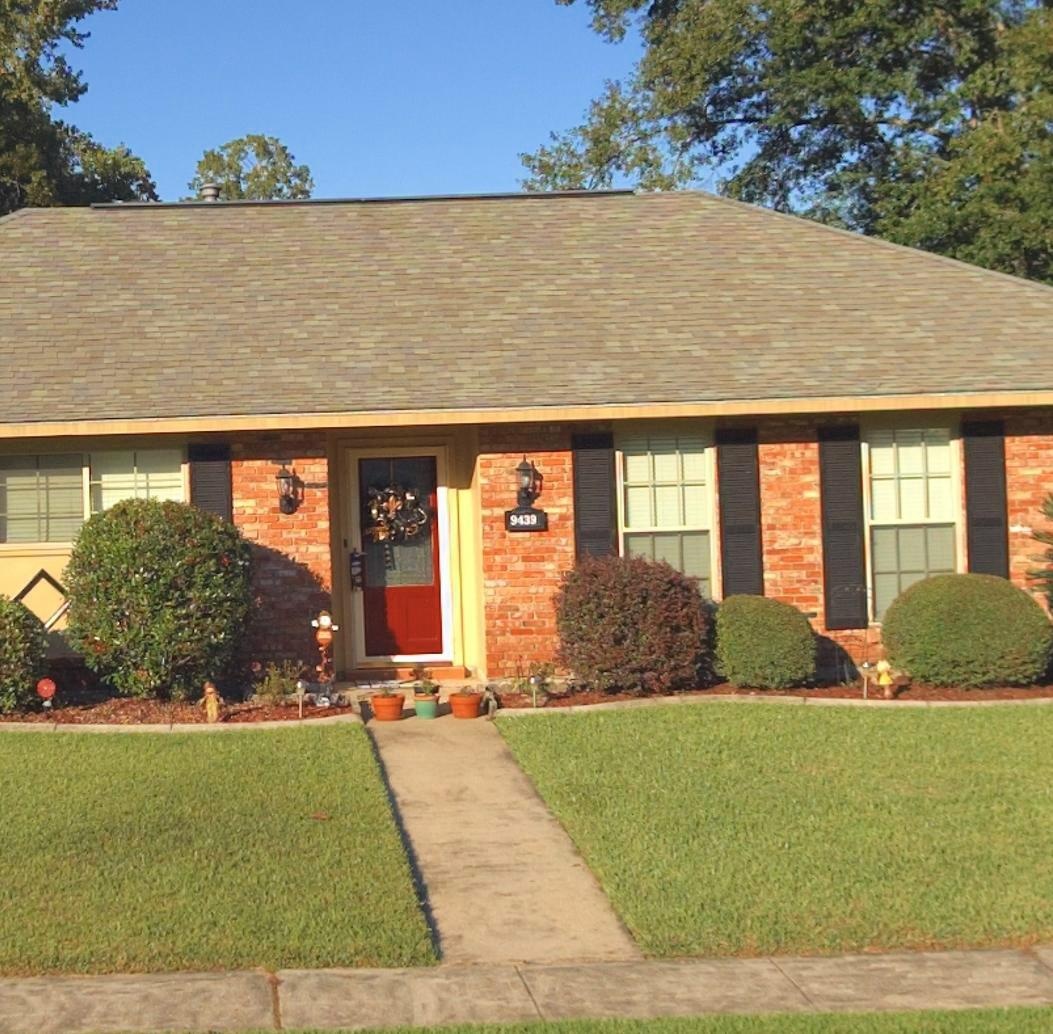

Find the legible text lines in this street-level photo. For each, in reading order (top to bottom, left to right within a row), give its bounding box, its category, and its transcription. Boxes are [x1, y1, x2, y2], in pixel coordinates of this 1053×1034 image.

[509, 515, 537, 526] StreetNumber: 9439